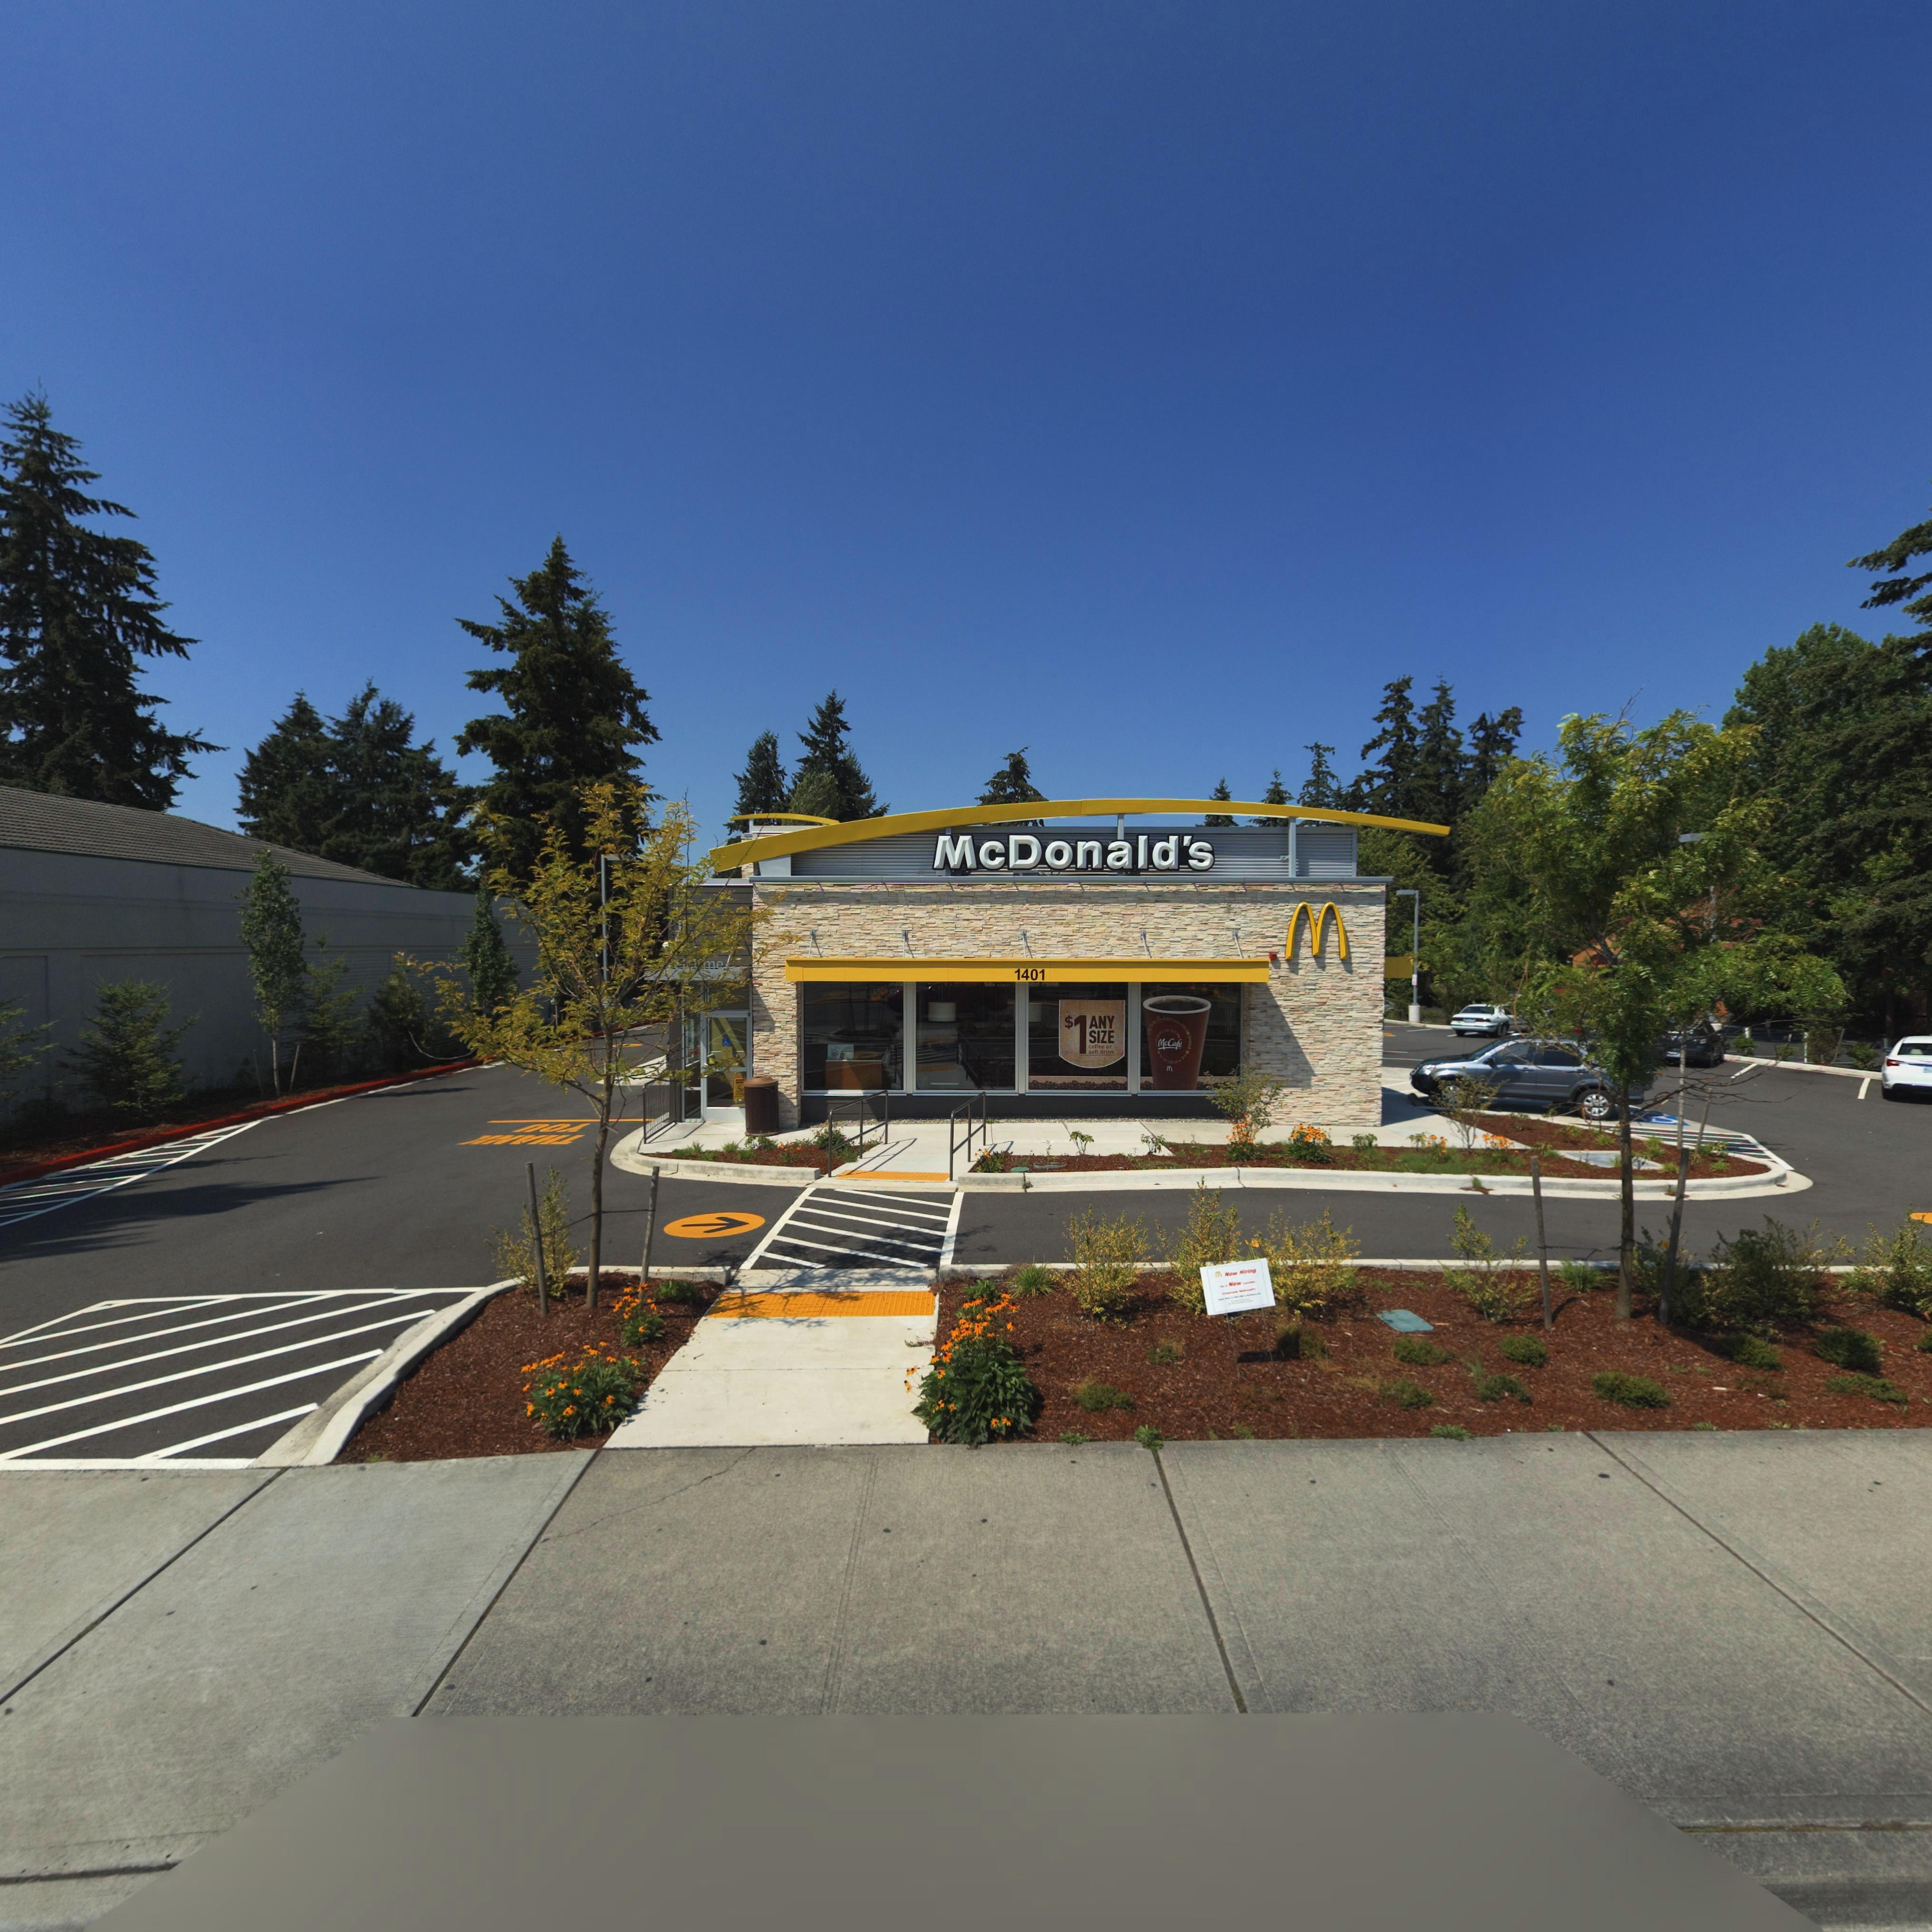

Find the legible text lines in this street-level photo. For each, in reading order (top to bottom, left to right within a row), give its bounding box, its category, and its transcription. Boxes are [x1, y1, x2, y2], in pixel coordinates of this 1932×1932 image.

[929, 831, 1216, 873] BusinessName: McDonald's
[1014, 966, 1046, 982] StreetNumber: 1401